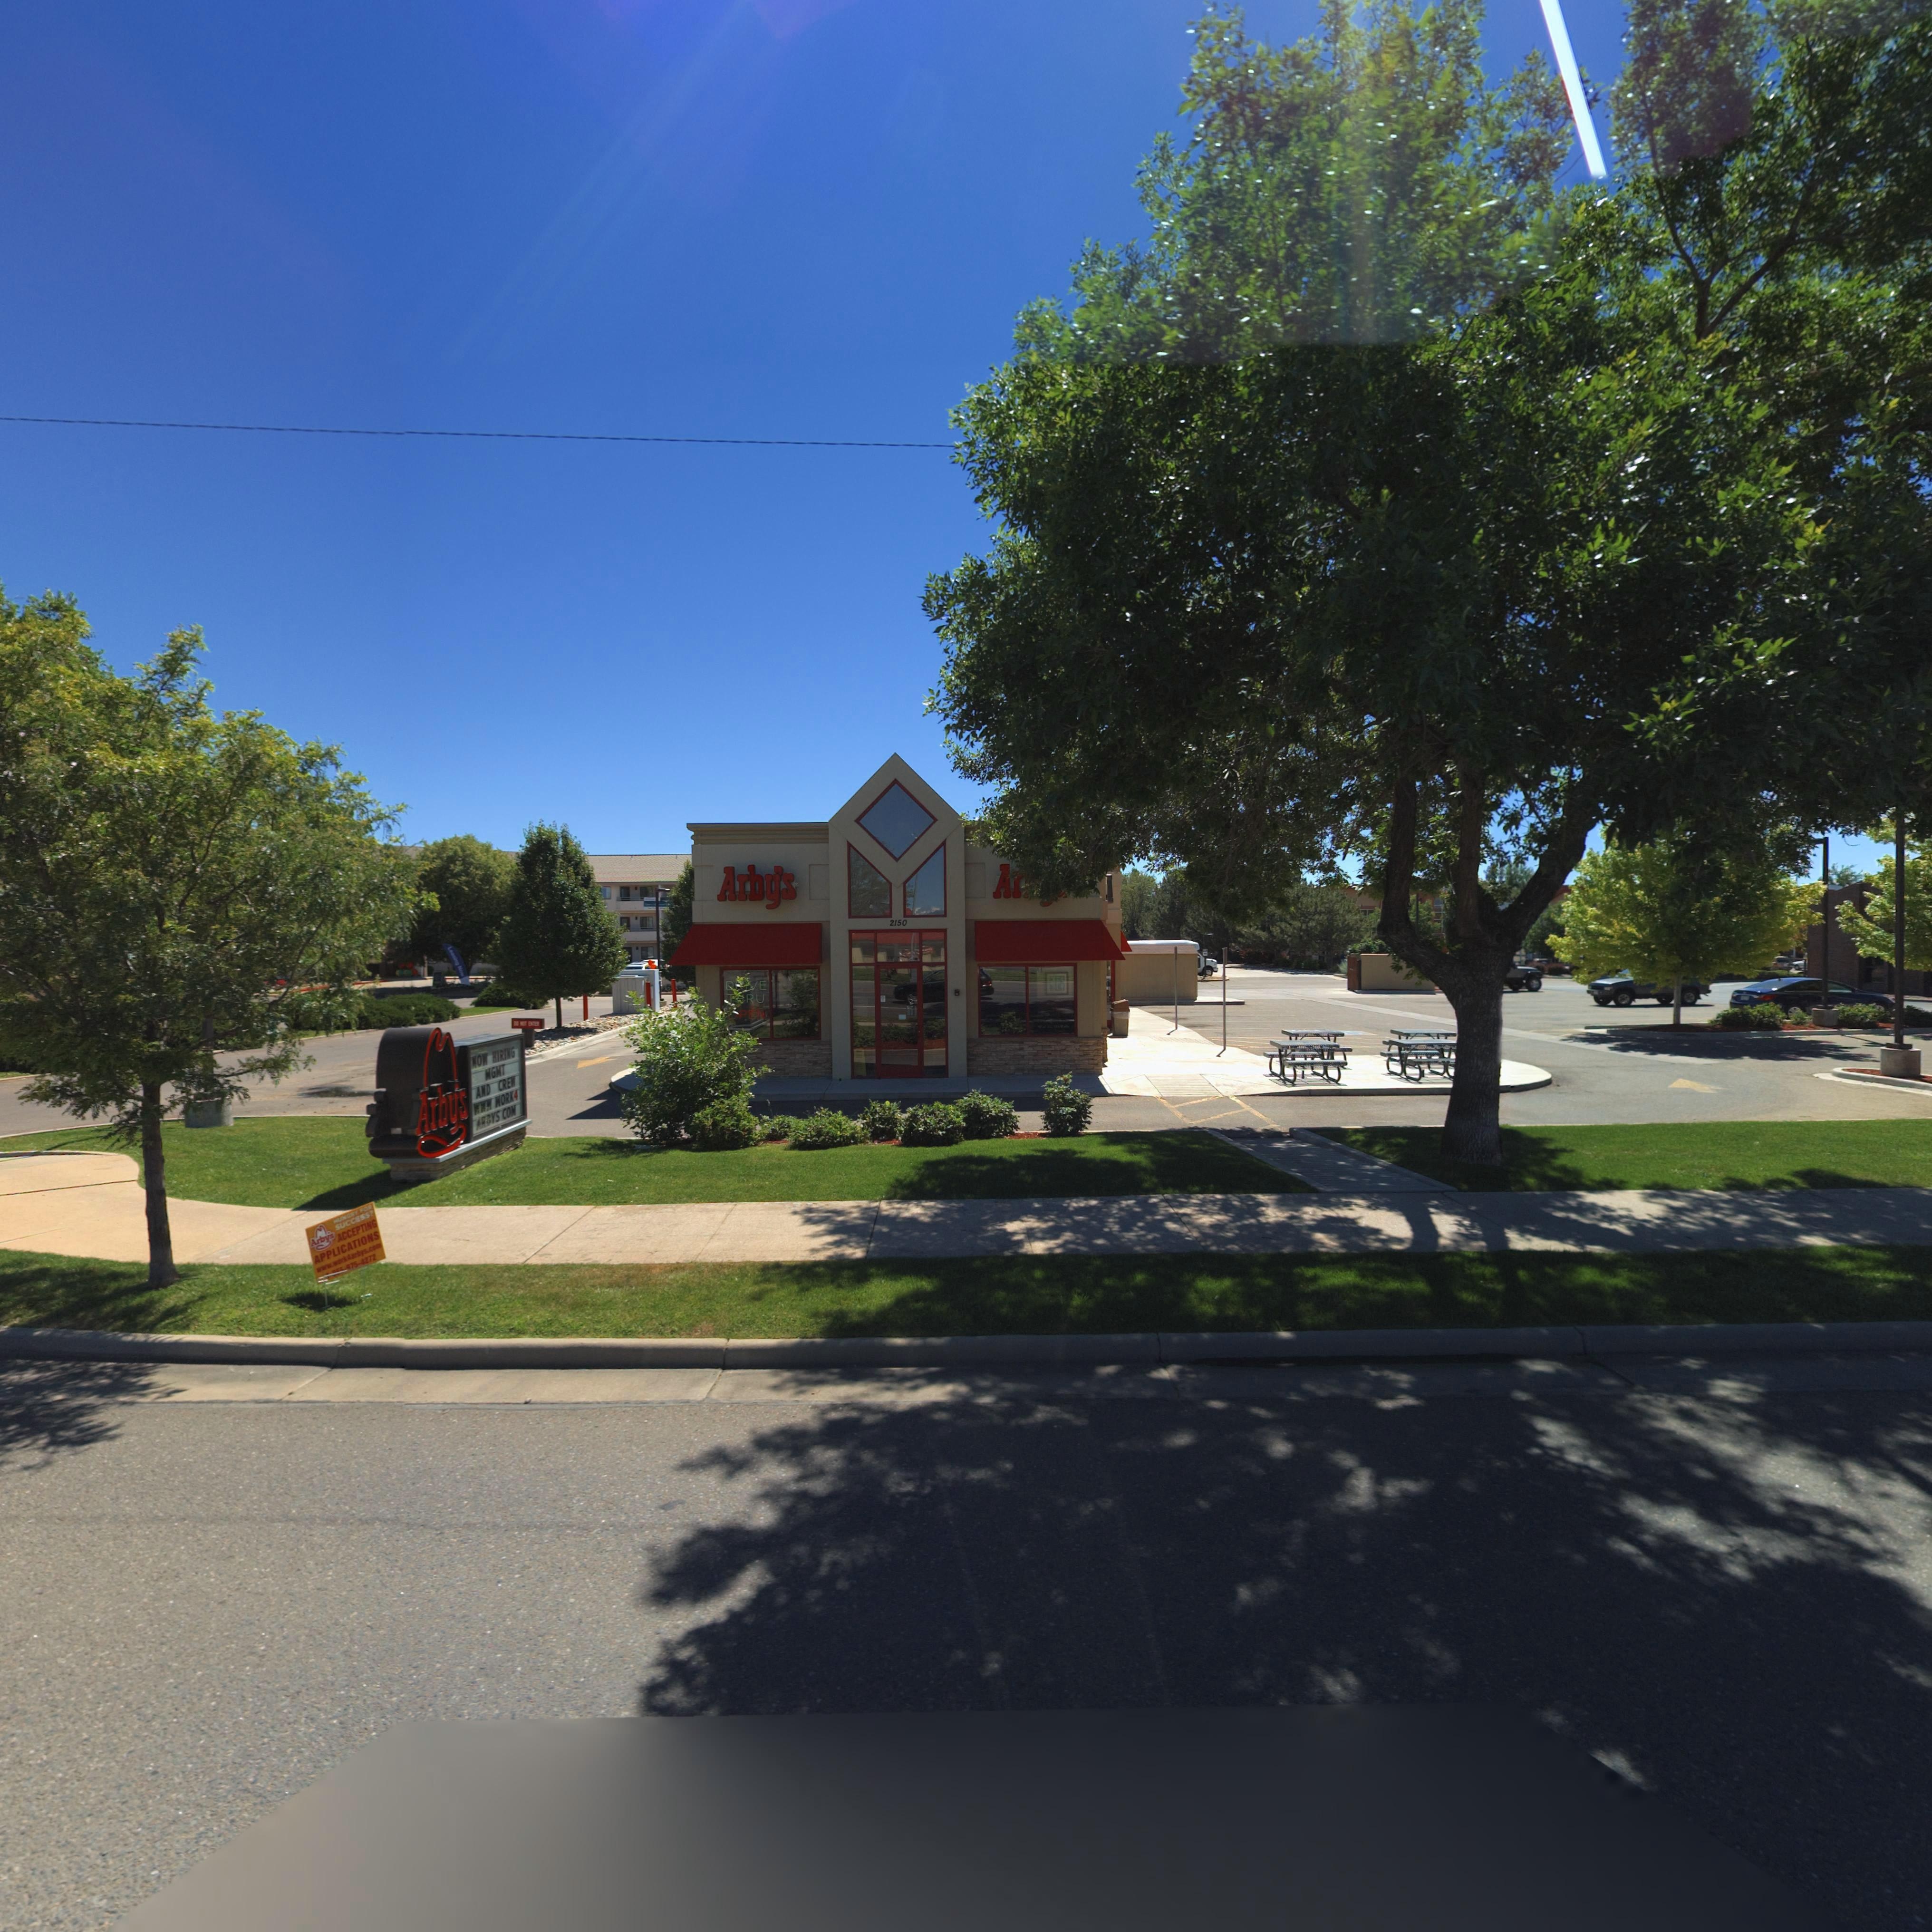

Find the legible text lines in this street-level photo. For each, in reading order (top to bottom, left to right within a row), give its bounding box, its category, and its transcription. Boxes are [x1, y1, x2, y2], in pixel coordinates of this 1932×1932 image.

[715, 863, 797, 910] BusinessName: Arby's
[992, 862, 1068, 908] BusinessName: Ar****
[889, 919, 907, 926] StreetNumber: 2150
[415, 1081, 470, 1137] BusinessName: Arby's
[311, 1231, 334, 1246] BusinessName: Arby's